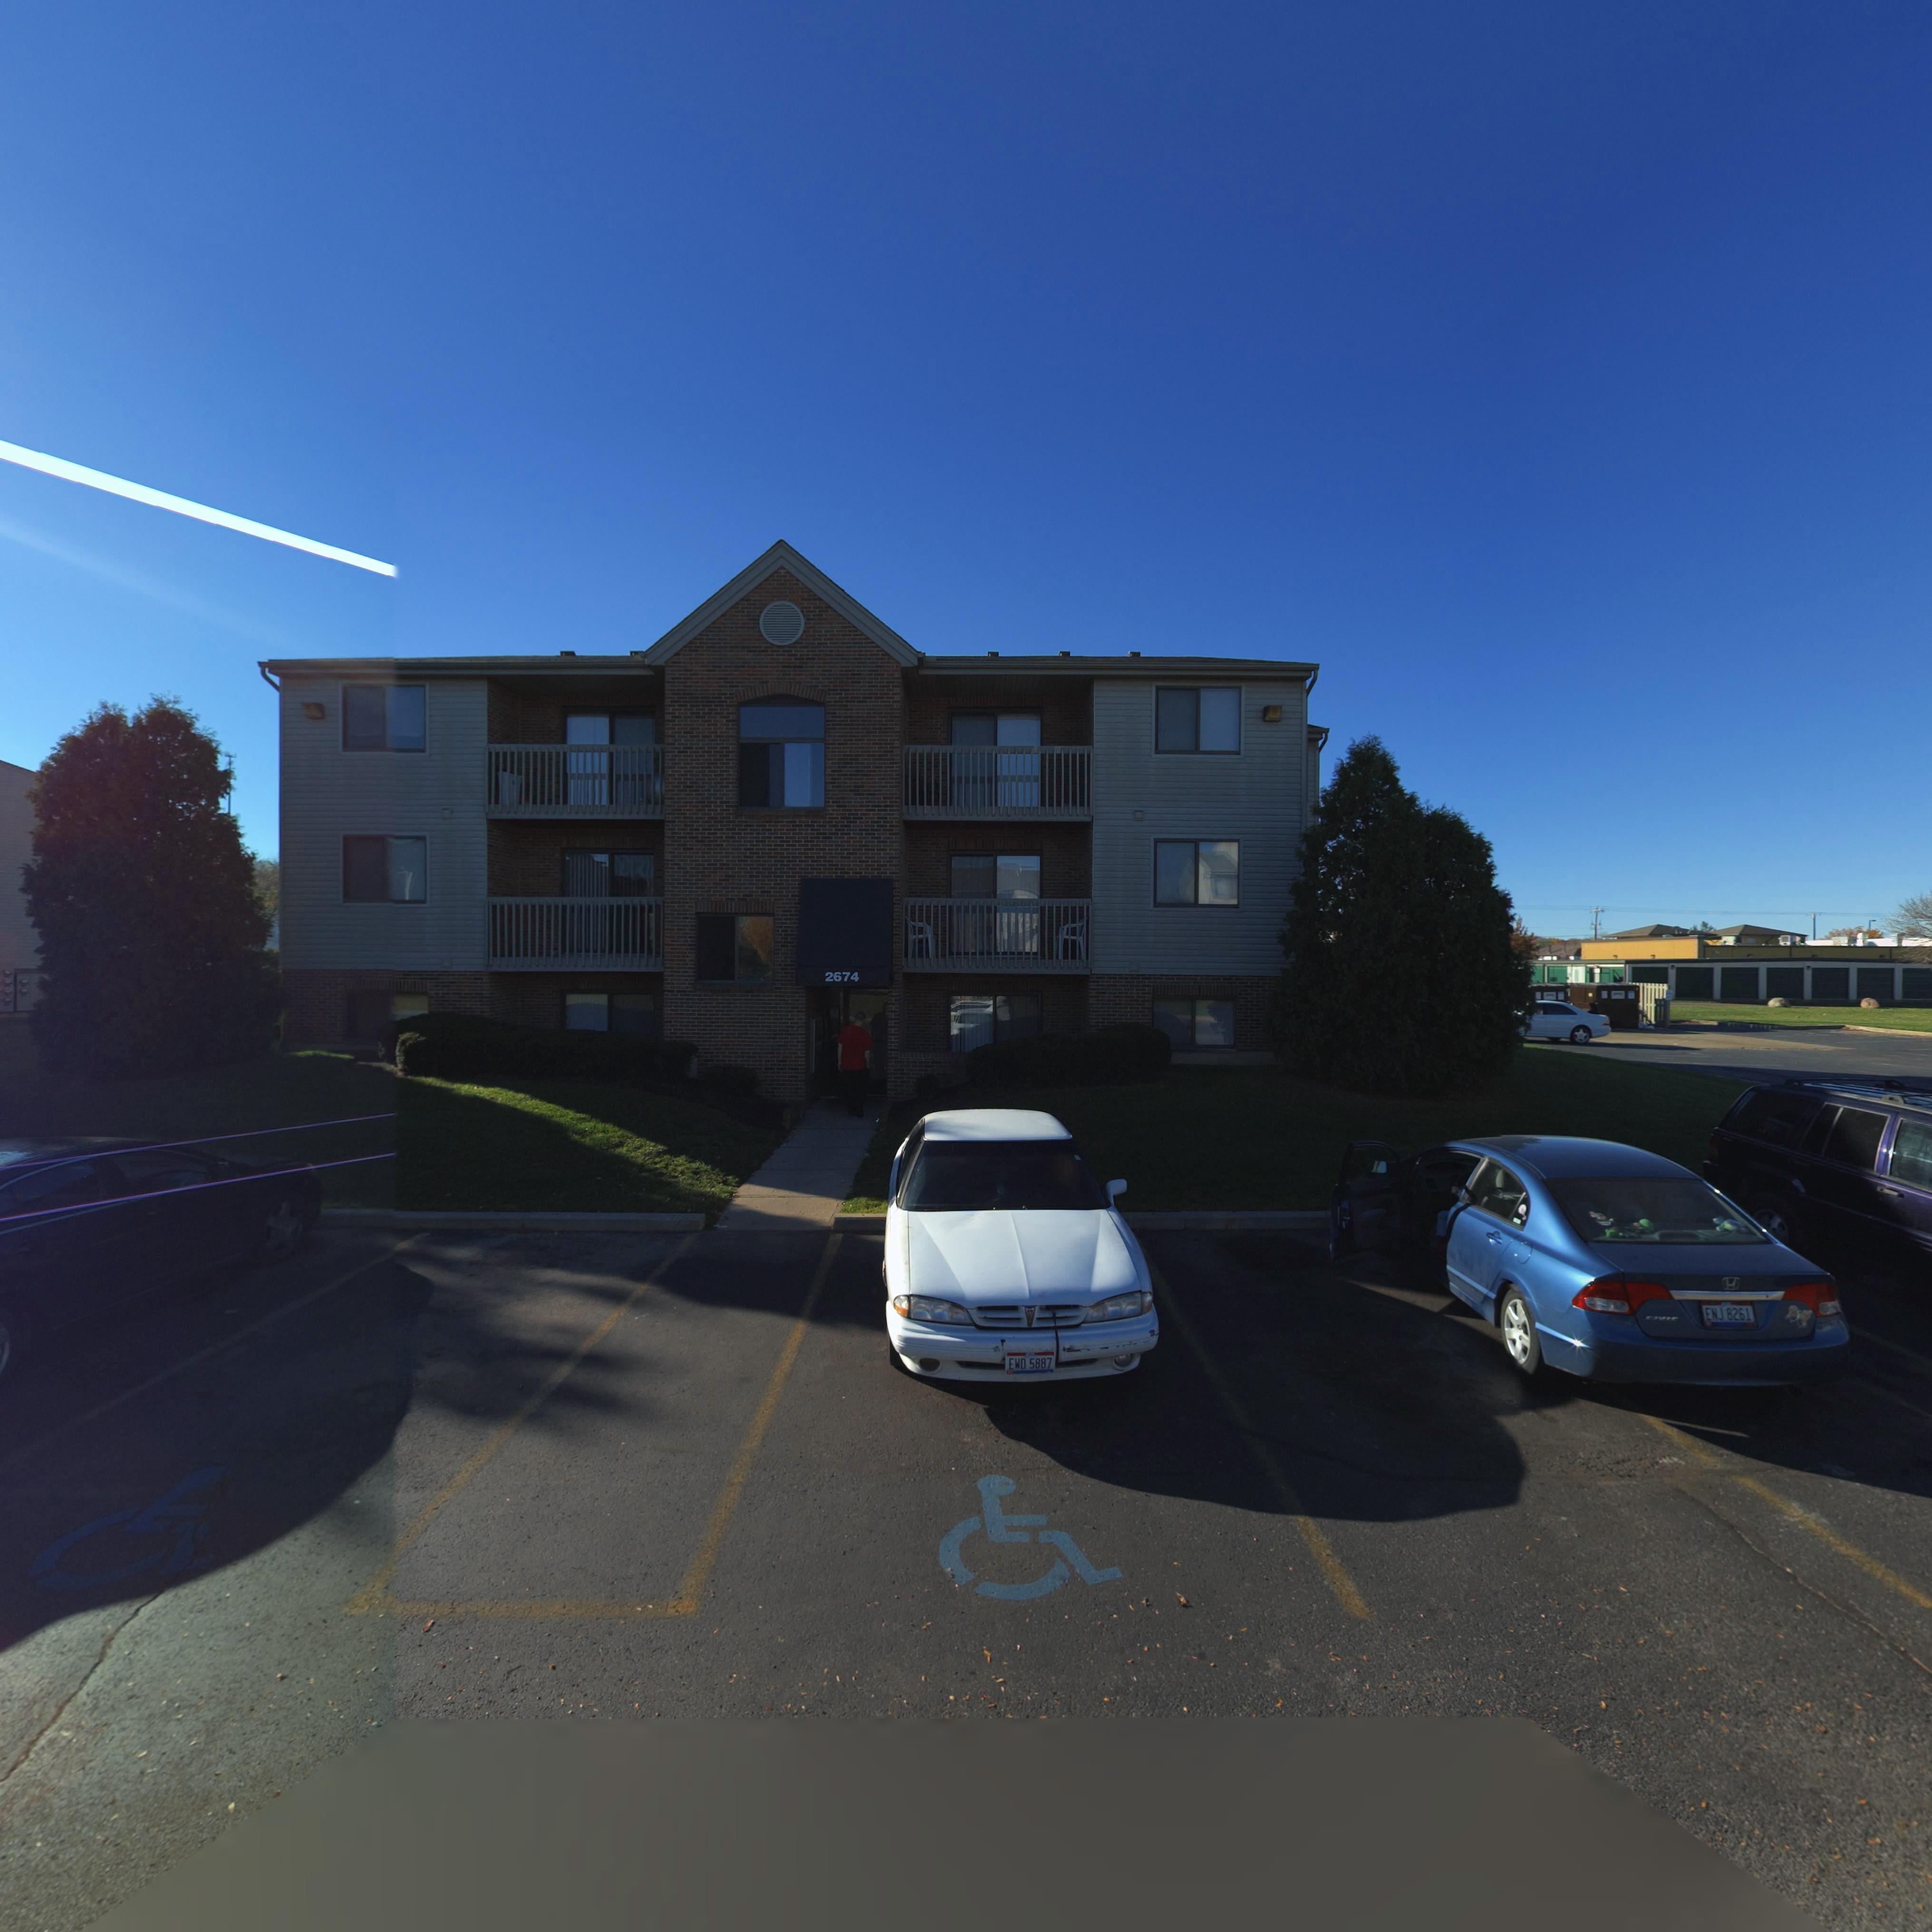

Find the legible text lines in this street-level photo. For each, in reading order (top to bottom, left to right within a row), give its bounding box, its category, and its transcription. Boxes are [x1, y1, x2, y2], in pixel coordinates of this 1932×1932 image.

[824, 972, 860, 982] StreetNumber: 2674